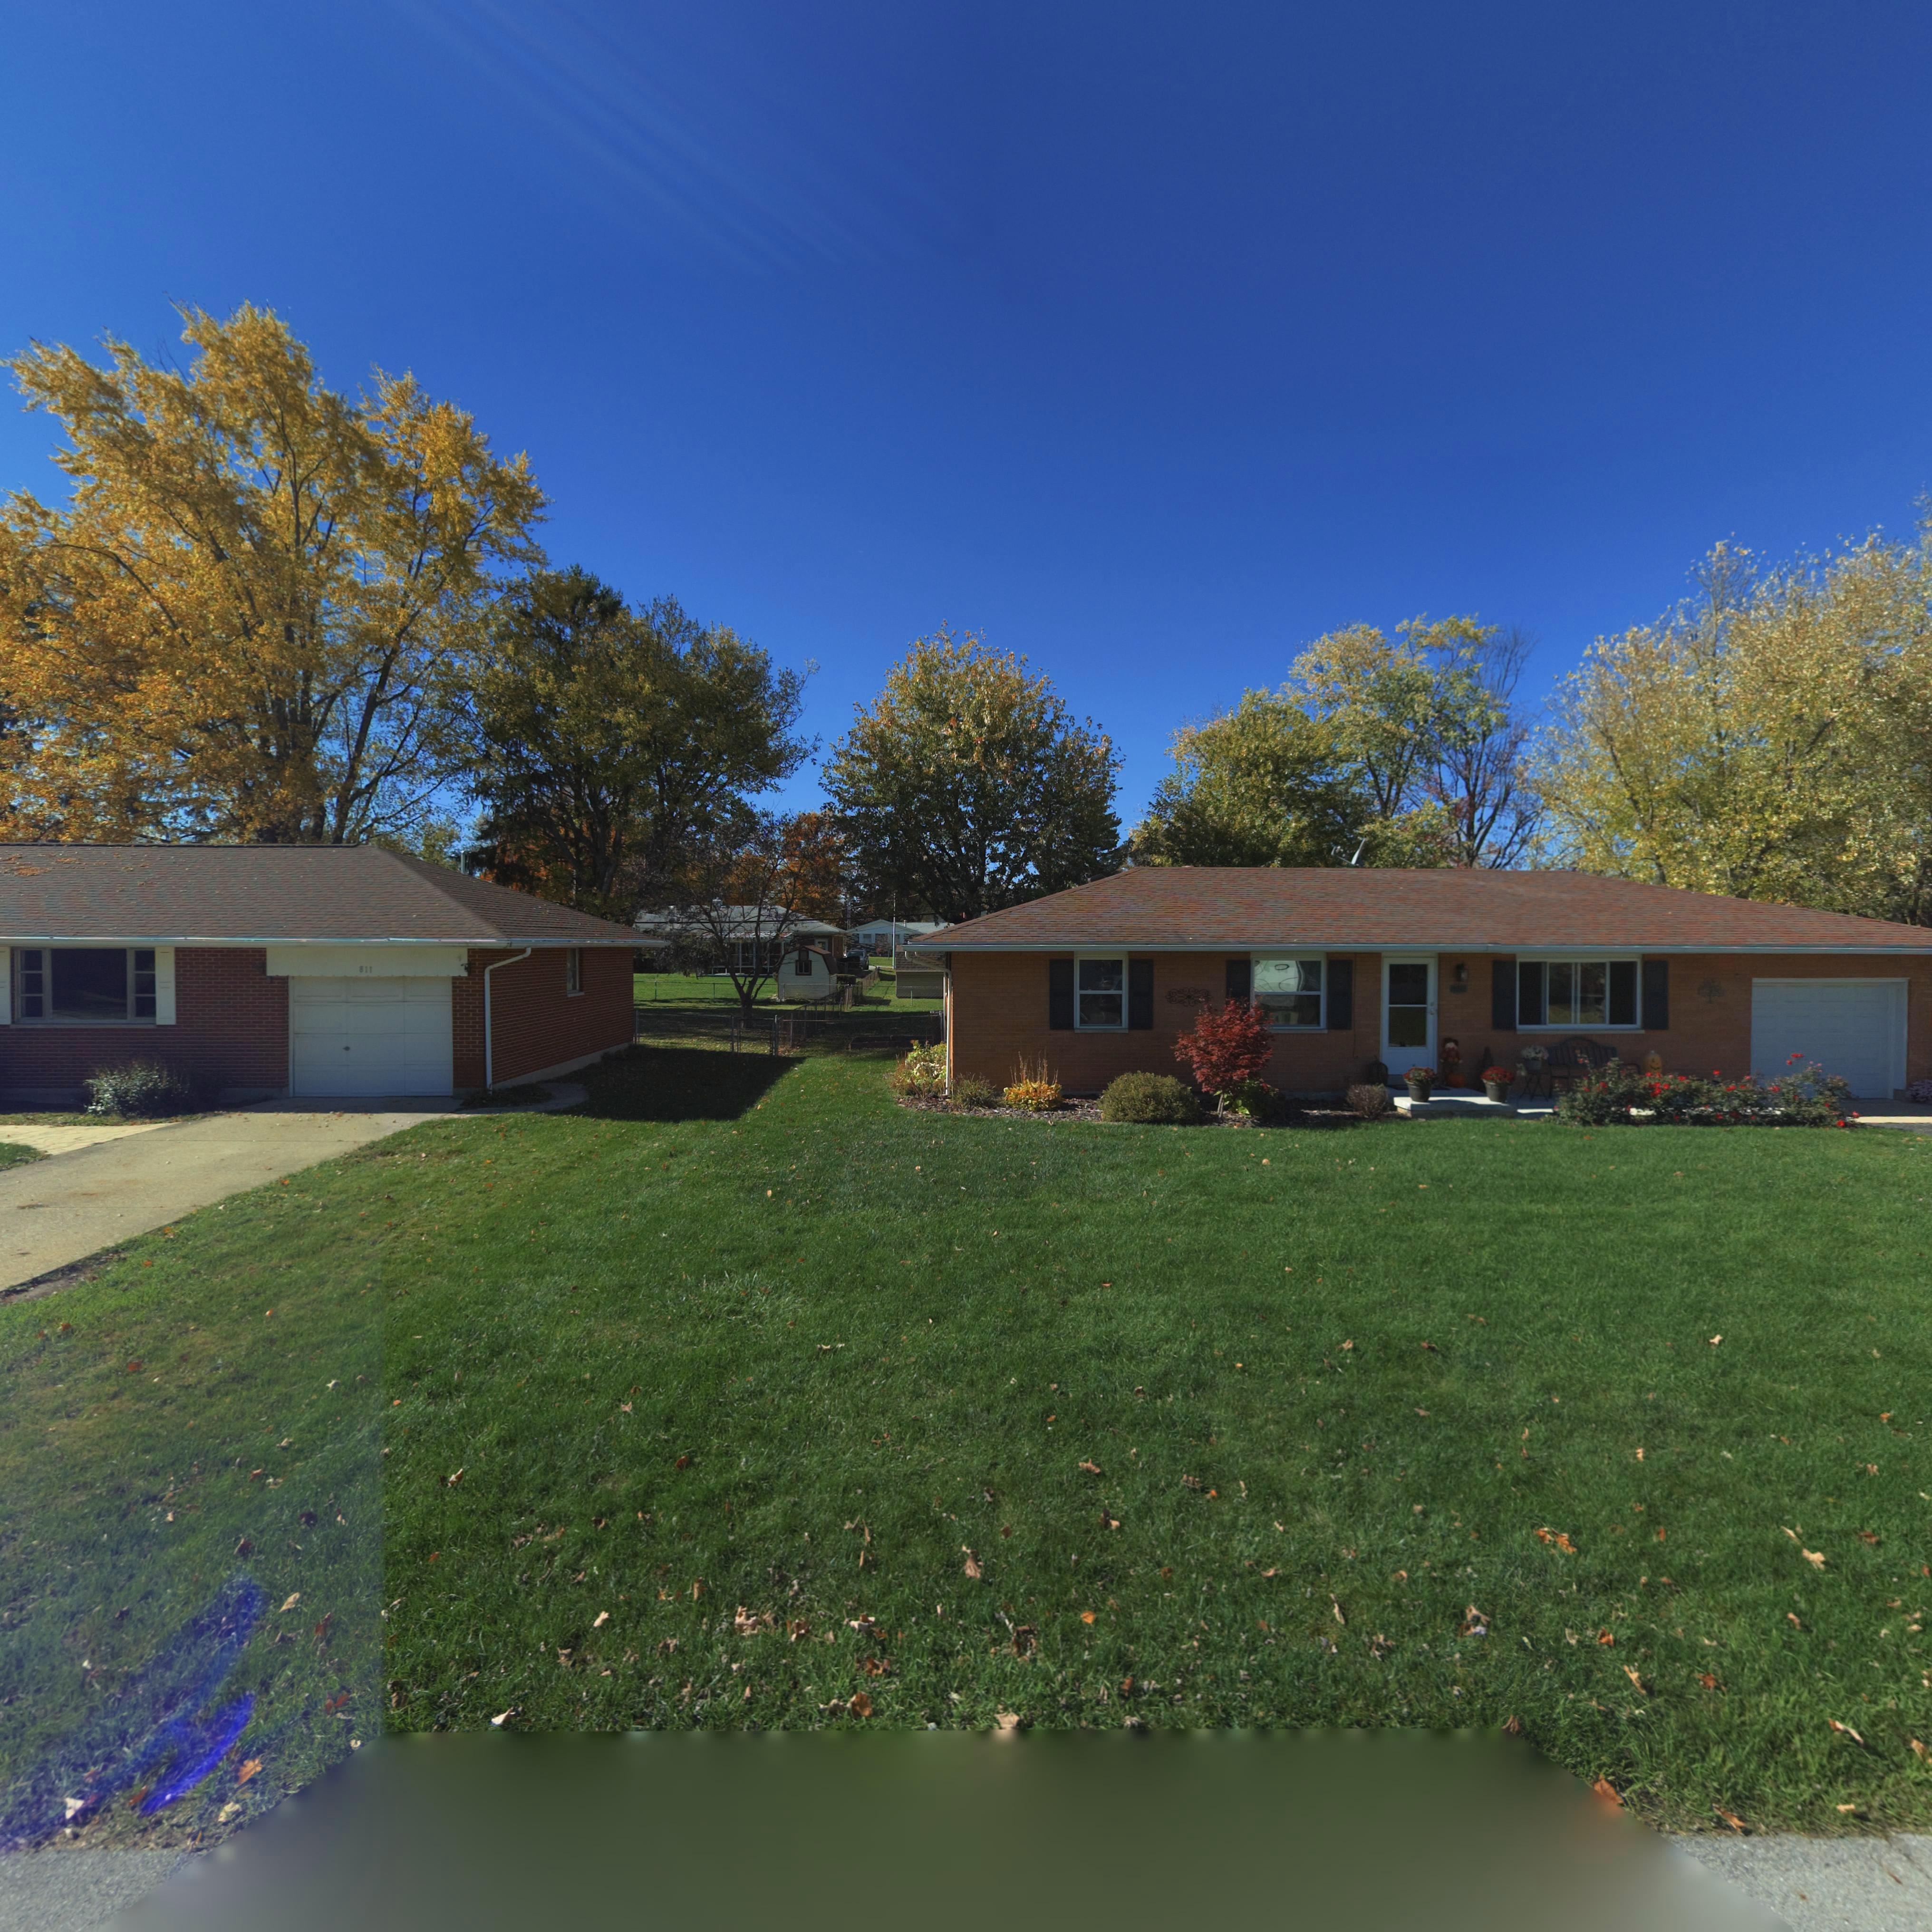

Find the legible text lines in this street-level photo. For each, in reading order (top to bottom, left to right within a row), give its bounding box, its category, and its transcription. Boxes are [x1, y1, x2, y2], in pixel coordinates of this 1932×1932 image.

[358, 965, 373, 974] StreetNumber: 811